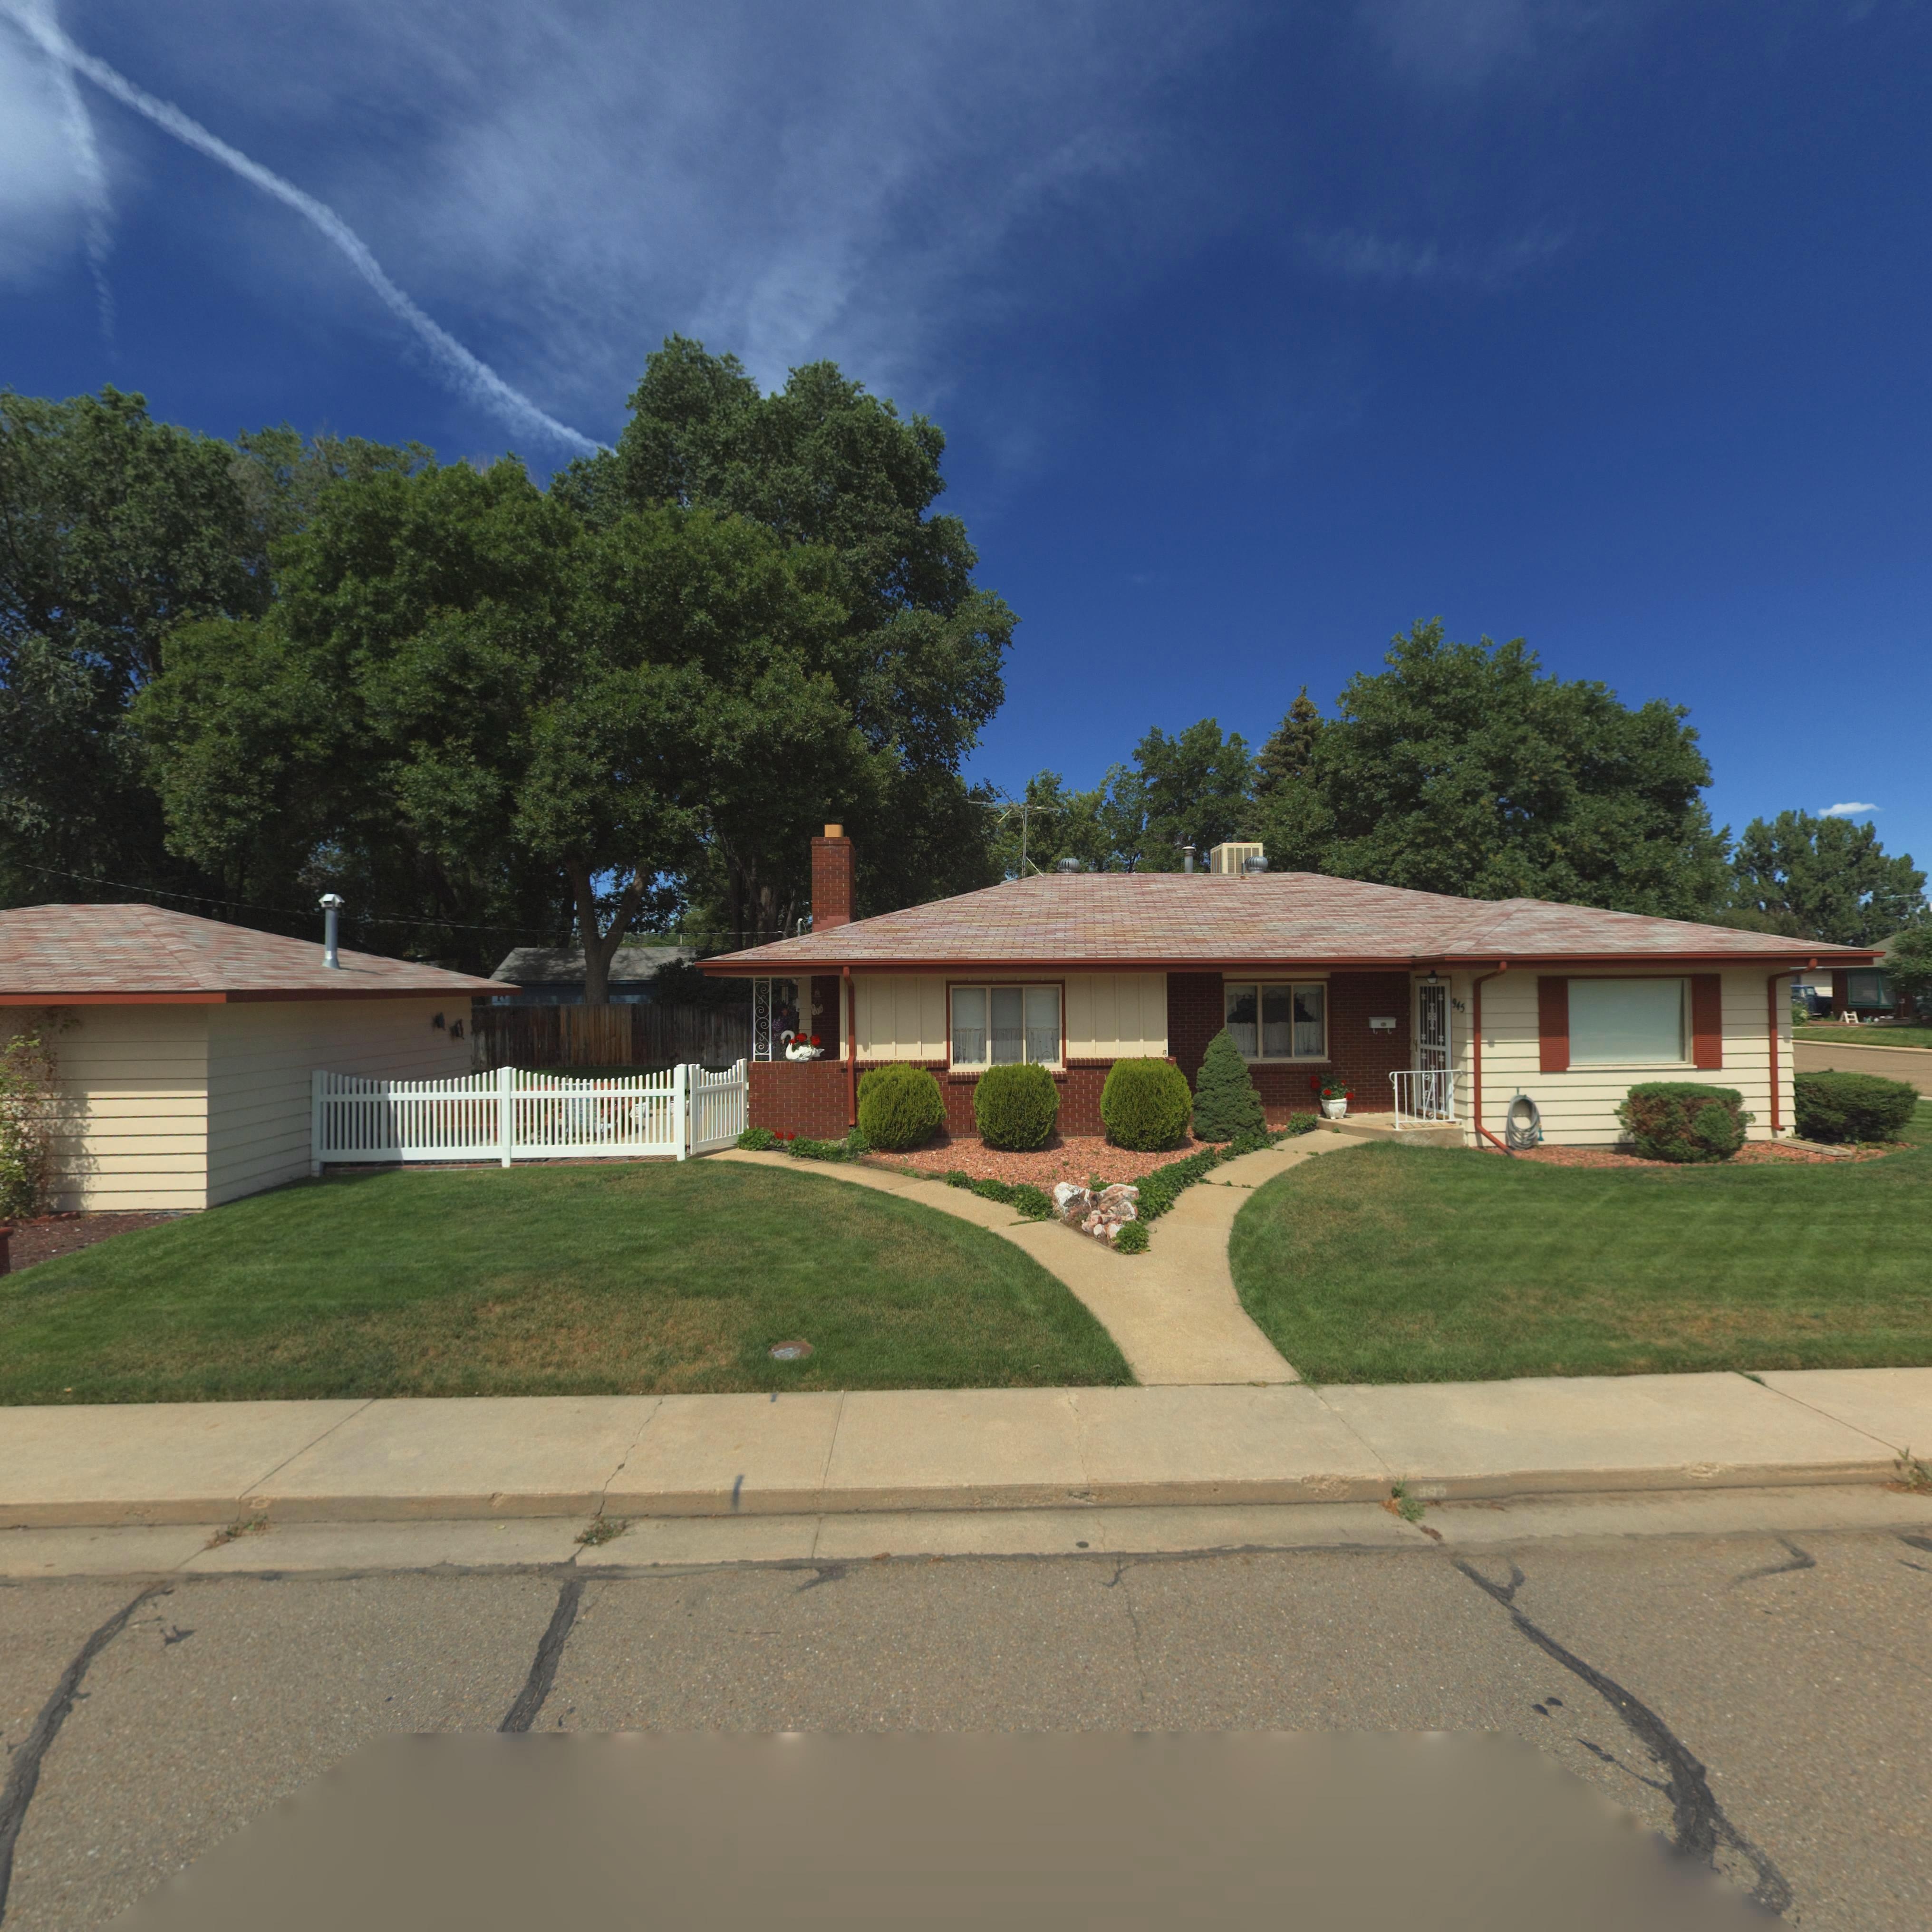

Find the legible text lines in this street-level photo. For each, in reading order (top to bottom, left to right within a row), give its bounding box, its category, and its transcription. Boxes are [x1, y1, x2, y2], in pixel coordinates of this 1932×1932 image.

[1452, 997, 1465, 1013] StreetNumber: 945